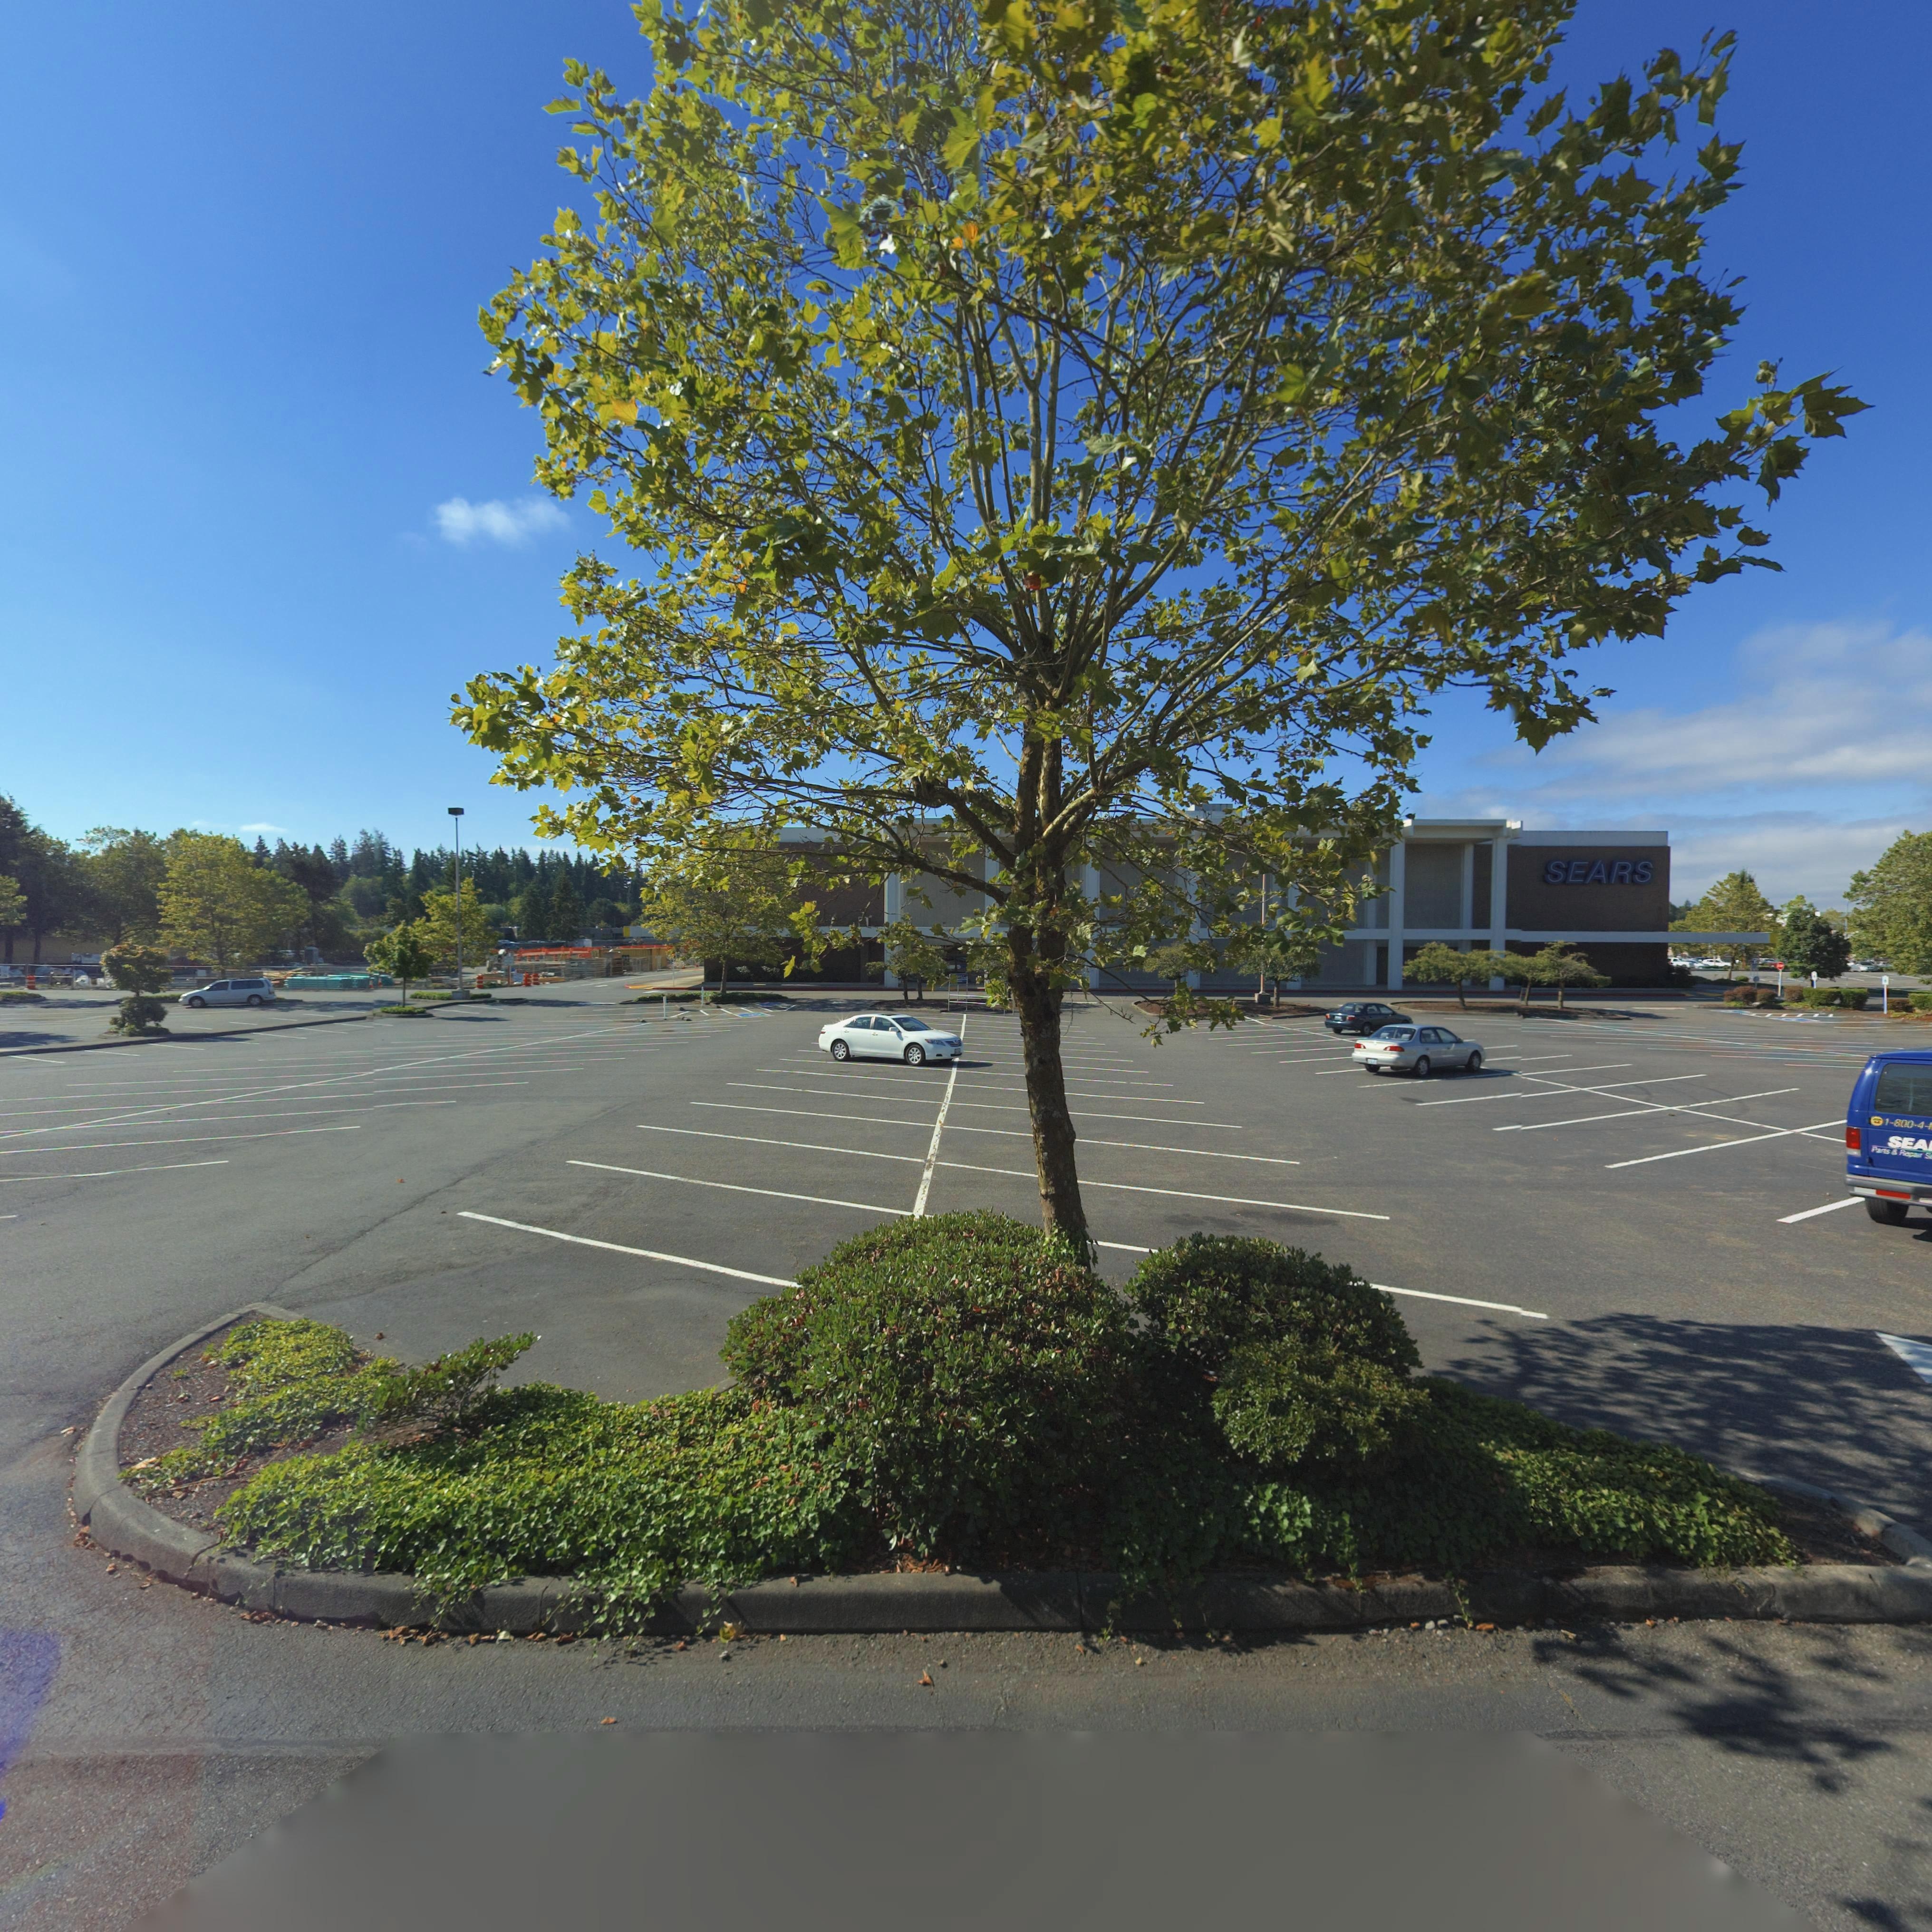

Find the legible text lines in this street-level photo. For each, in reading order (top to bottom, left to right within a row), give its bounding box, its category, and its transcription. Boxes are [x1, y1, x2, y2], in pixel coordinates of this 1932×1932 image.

[1548, 861, 1653, 883] BusinessName: SEARS